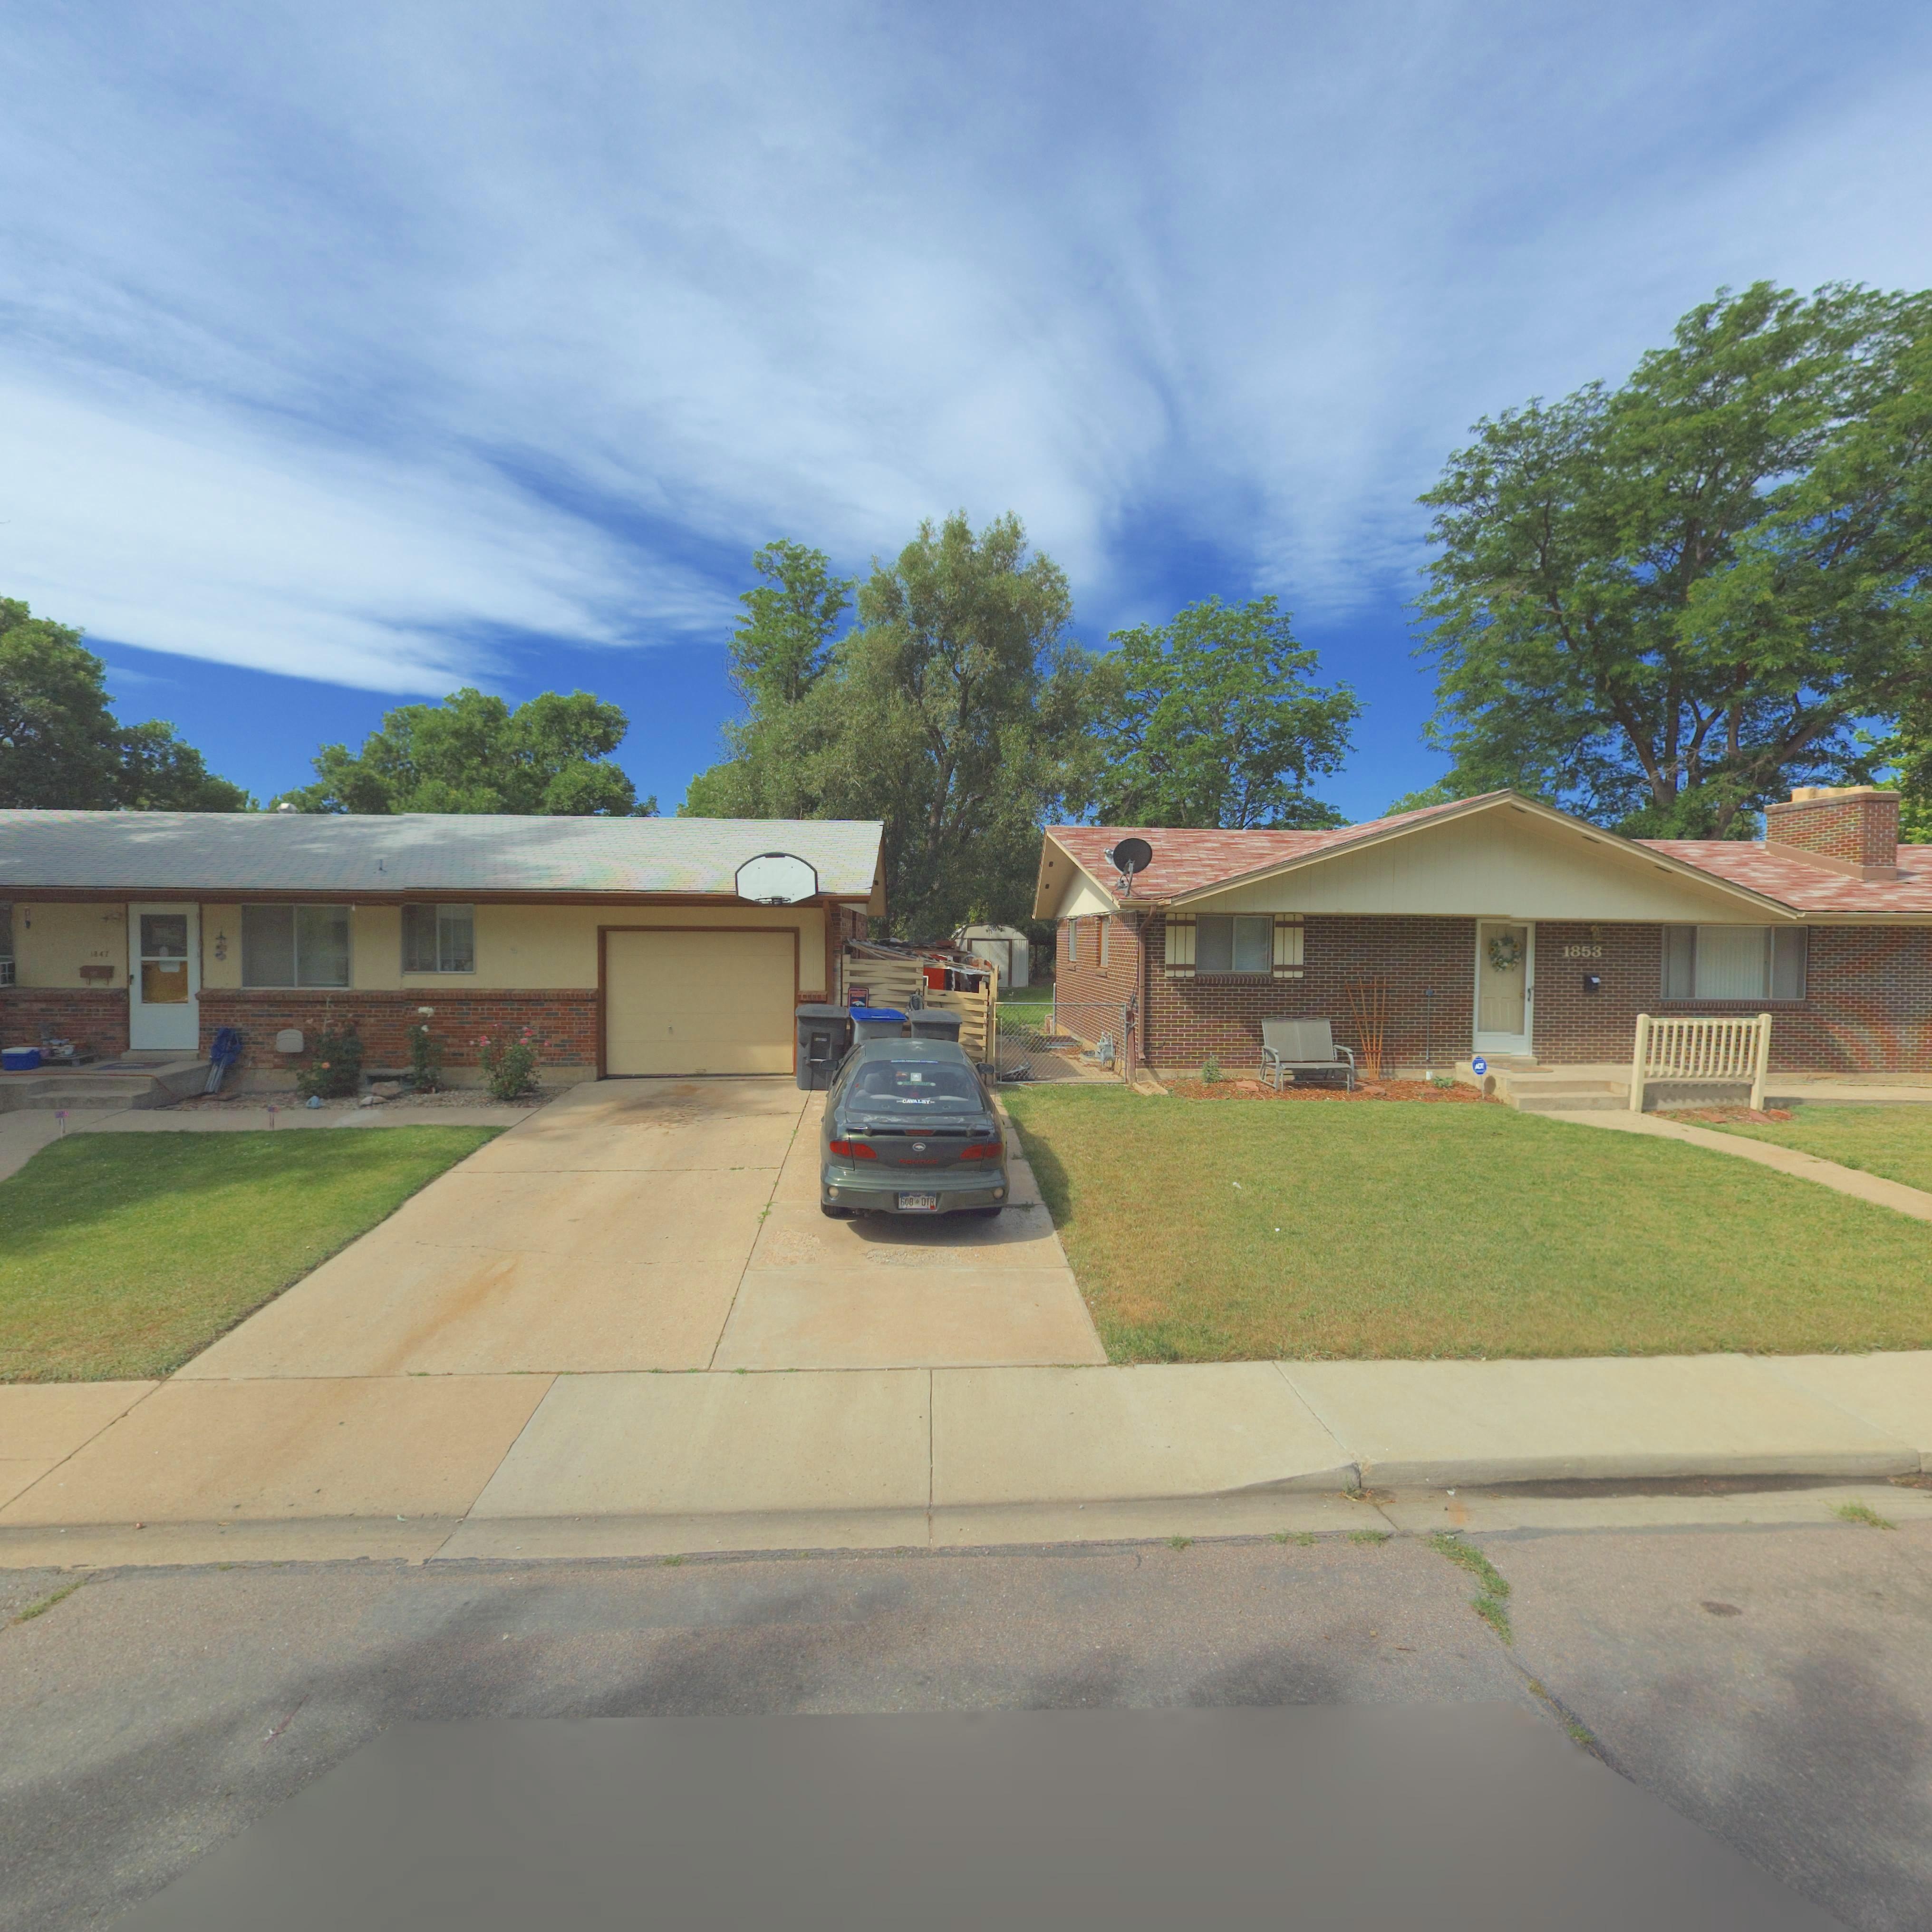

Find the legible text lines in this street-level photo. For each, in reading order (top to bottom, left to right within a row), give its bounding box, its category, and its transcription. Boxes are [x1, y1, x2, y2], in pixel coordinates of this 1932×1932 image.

[89, 950, 109, 957] StreetNumber: 1847
[1562, 945, 1602, 958] StreetNumber: 1853